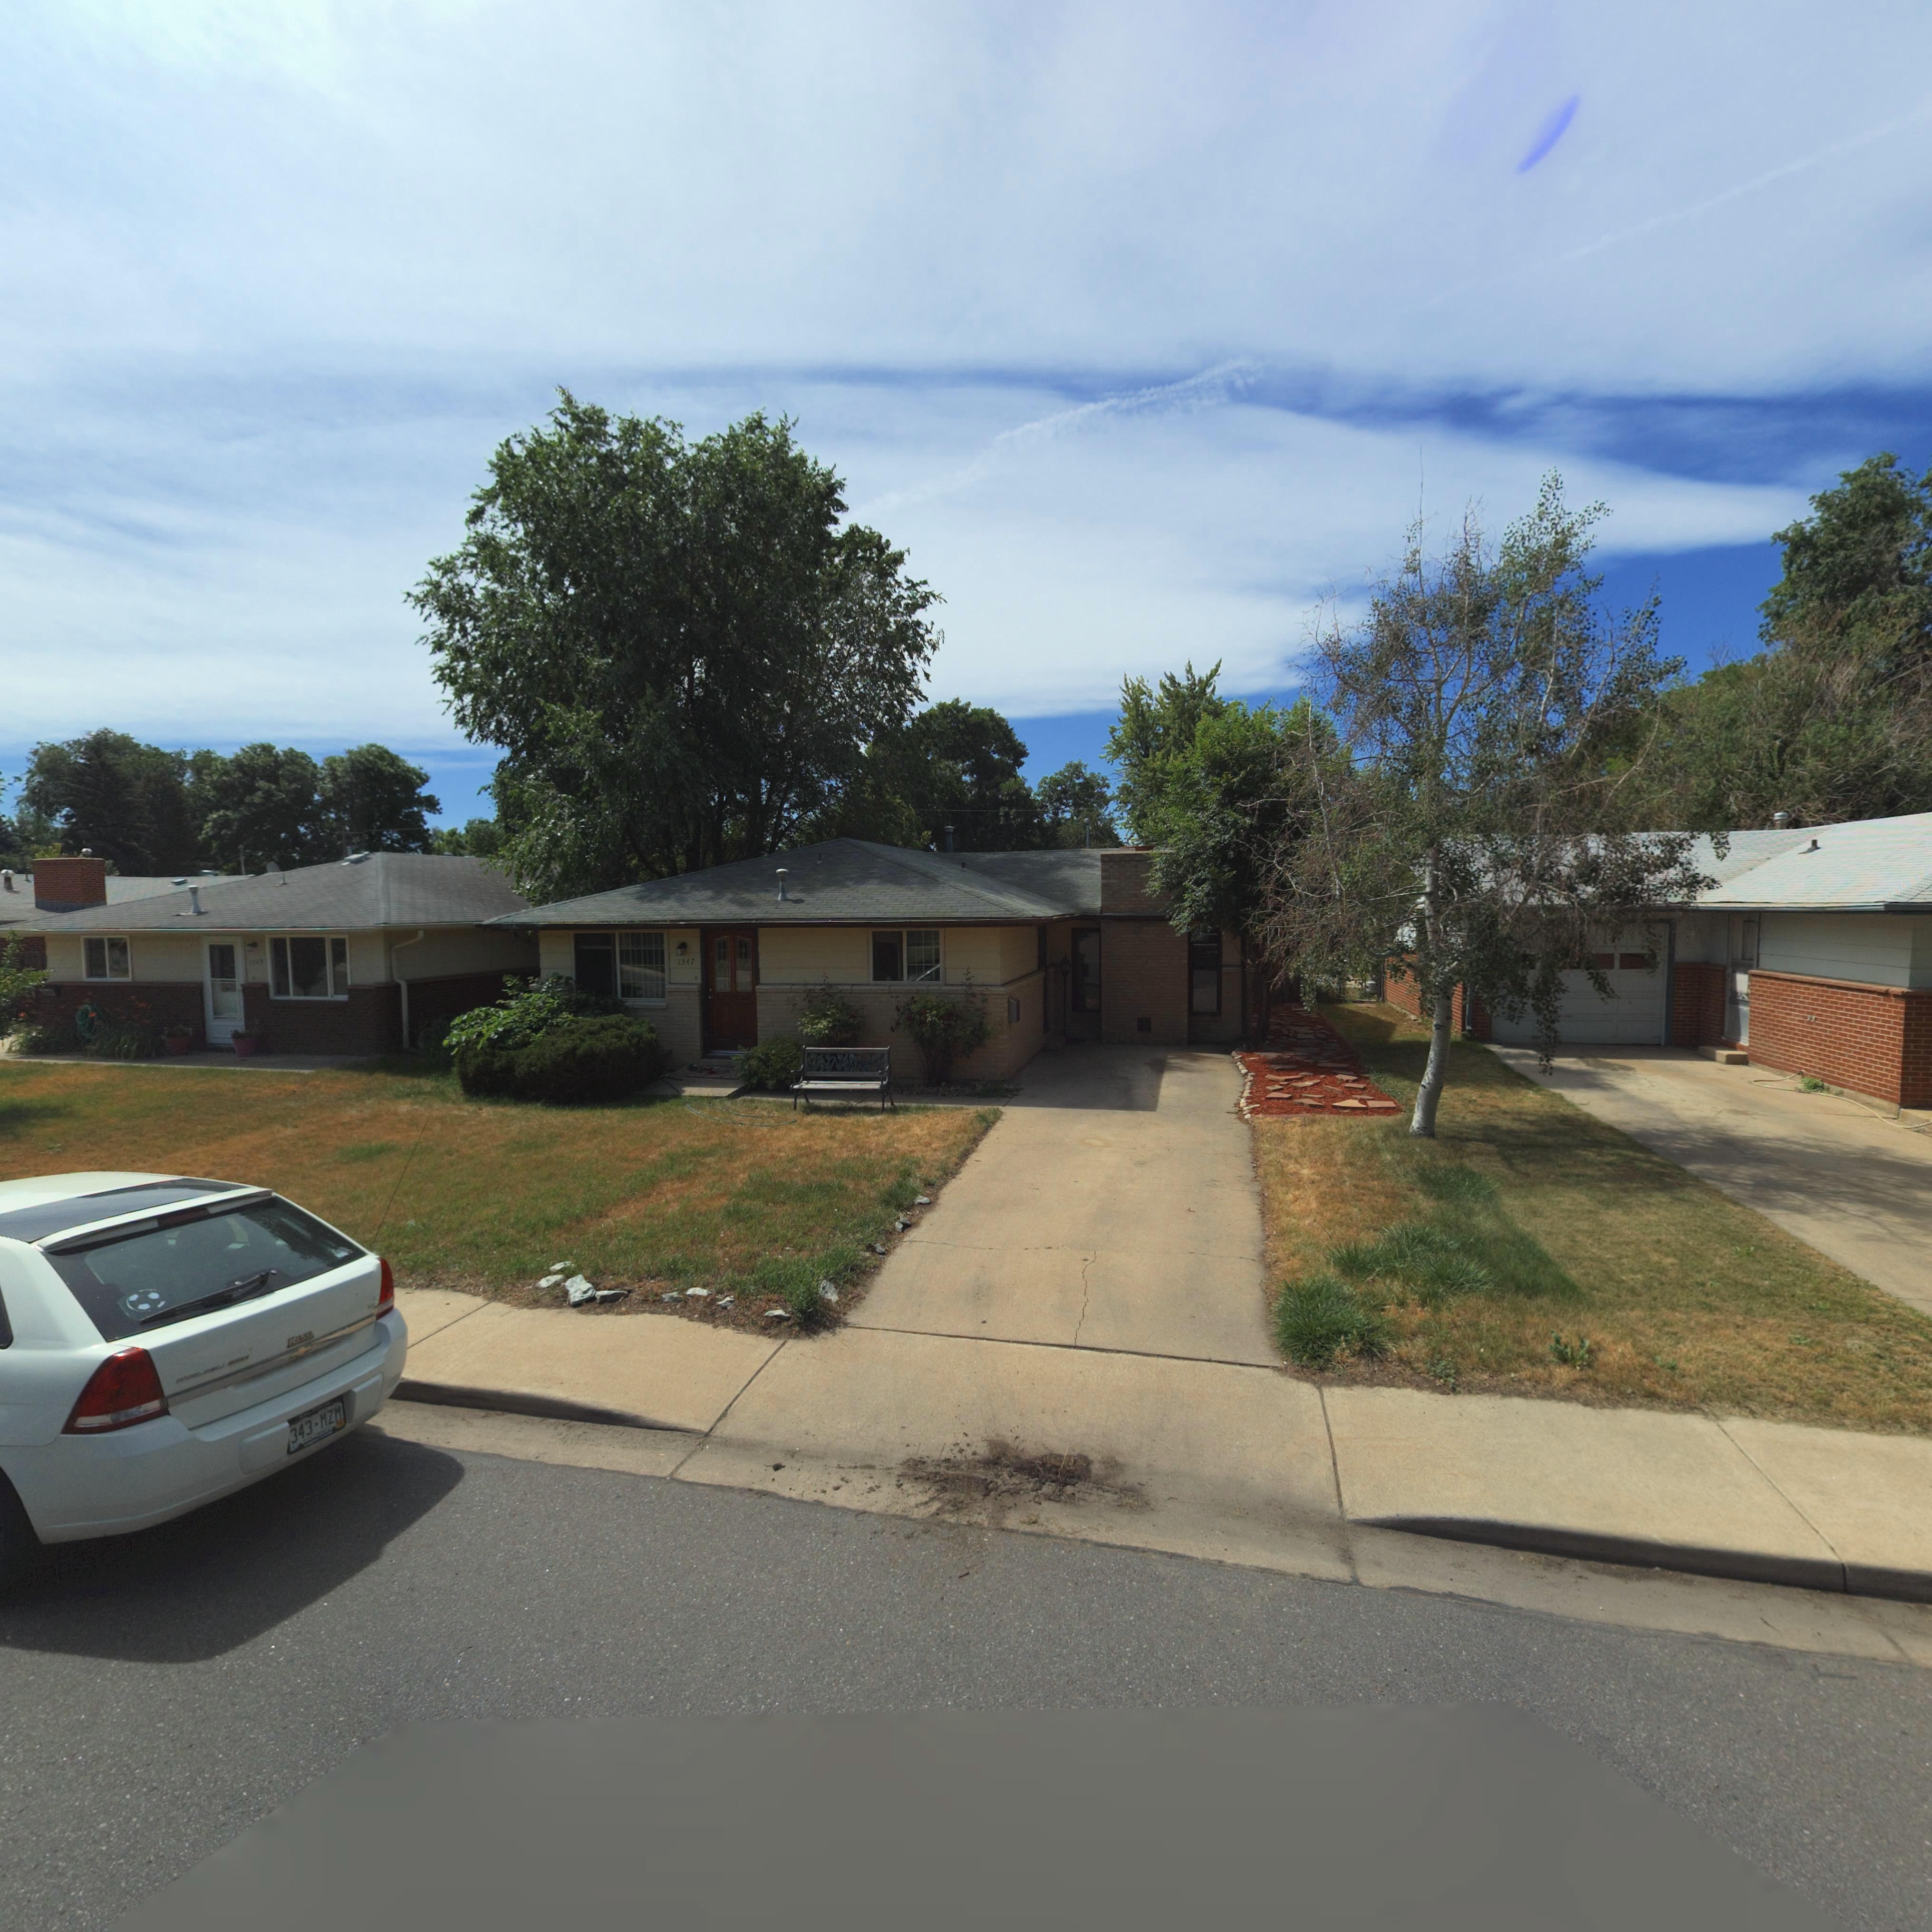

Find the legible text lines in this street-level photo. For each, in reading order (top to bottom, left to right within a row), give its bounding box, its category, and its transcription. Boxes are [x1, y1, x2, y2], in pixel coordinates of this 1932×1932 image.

[249, 957, 264, 966] StreetNumber: 15**
[678, 957, 695, 965] StreetNumber: 1347